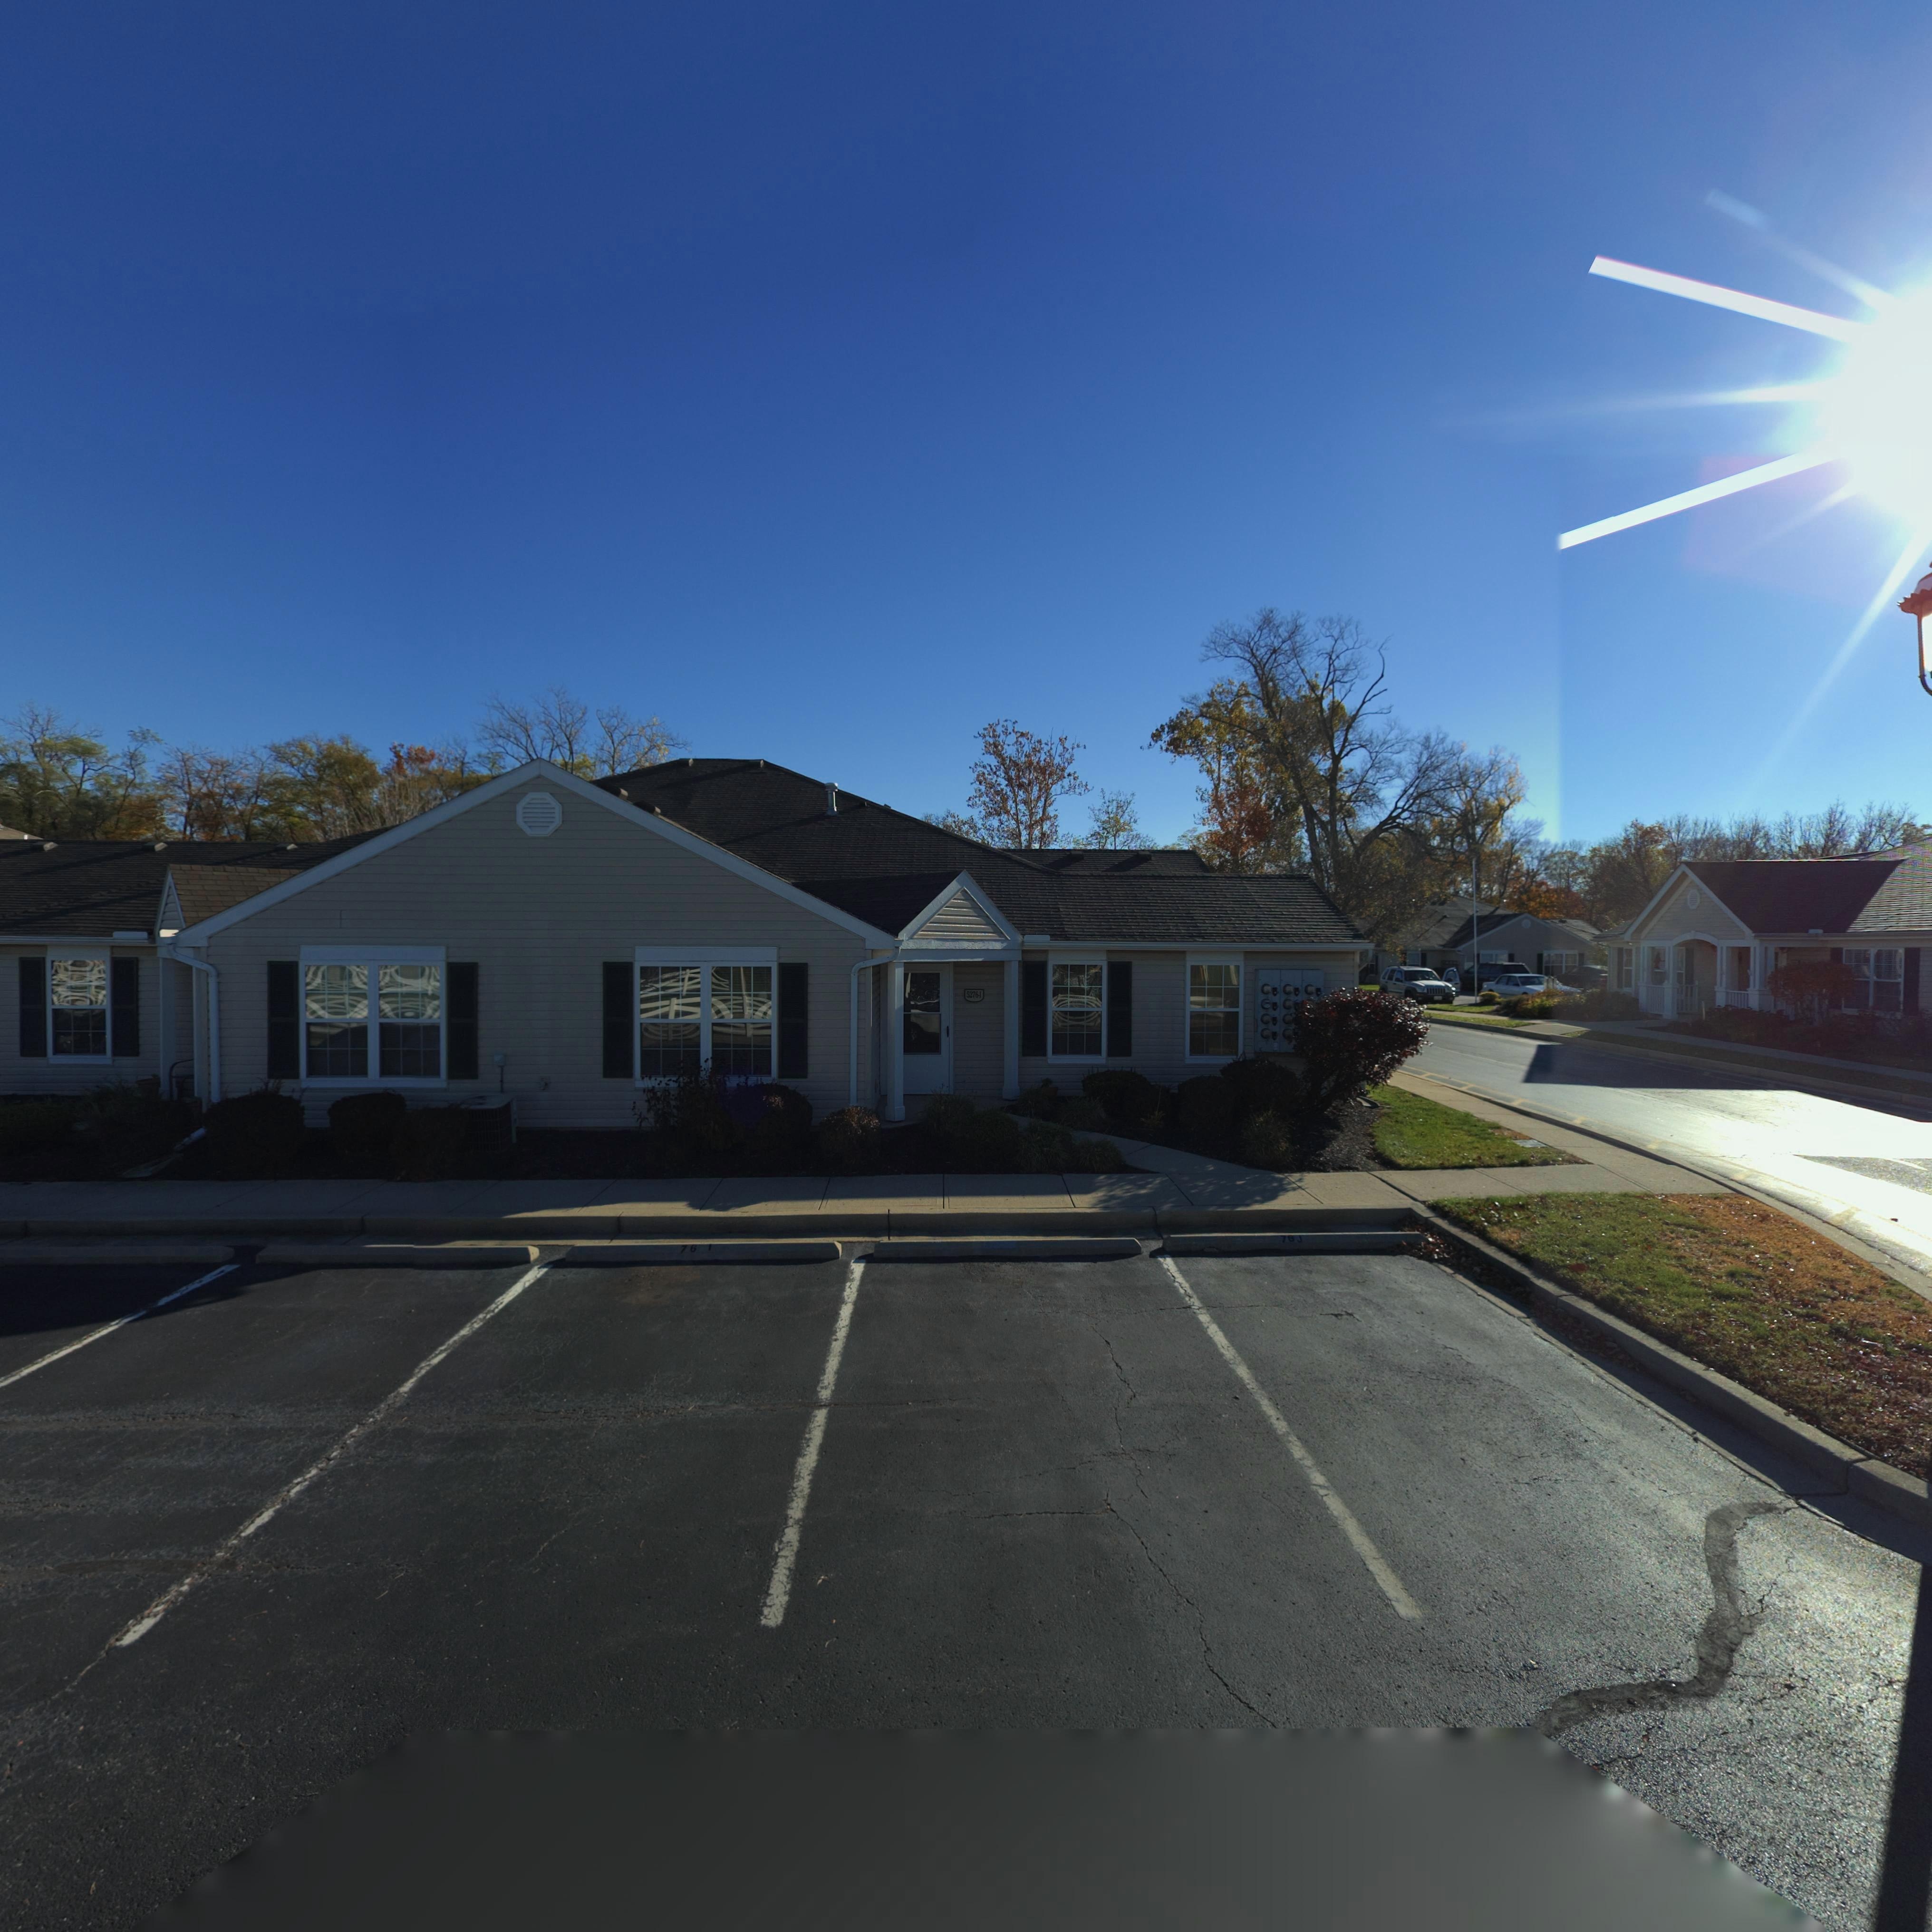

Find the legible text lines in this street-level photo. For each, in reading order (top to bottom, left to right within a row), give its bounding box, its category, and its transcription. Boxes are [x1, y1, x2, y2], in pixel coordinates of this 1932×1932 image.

[966, 990, 982, 999] StreetNumber: 5276**